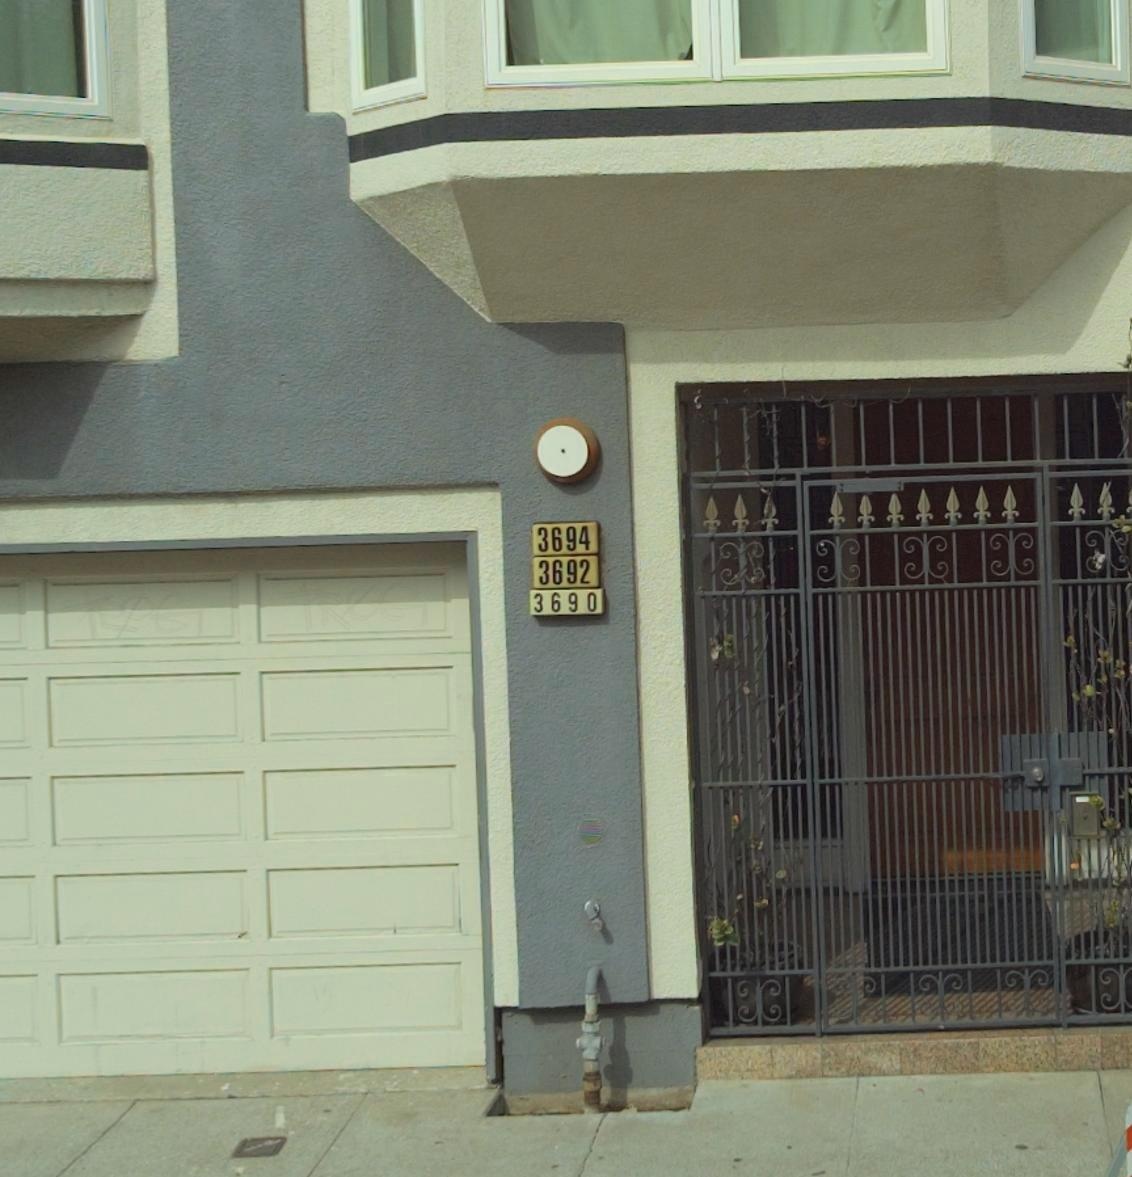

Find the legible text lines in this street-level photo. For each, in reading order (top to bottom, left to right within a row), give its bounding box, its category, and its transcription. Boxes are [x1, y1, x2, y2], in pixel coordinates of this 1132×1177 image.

[537, 525, 592, 553] StreetNumber: 3694
[537, 558, 592, 586] StreetNumber: 3692
[533, 591, 598, 613] StreetNumber: 3690